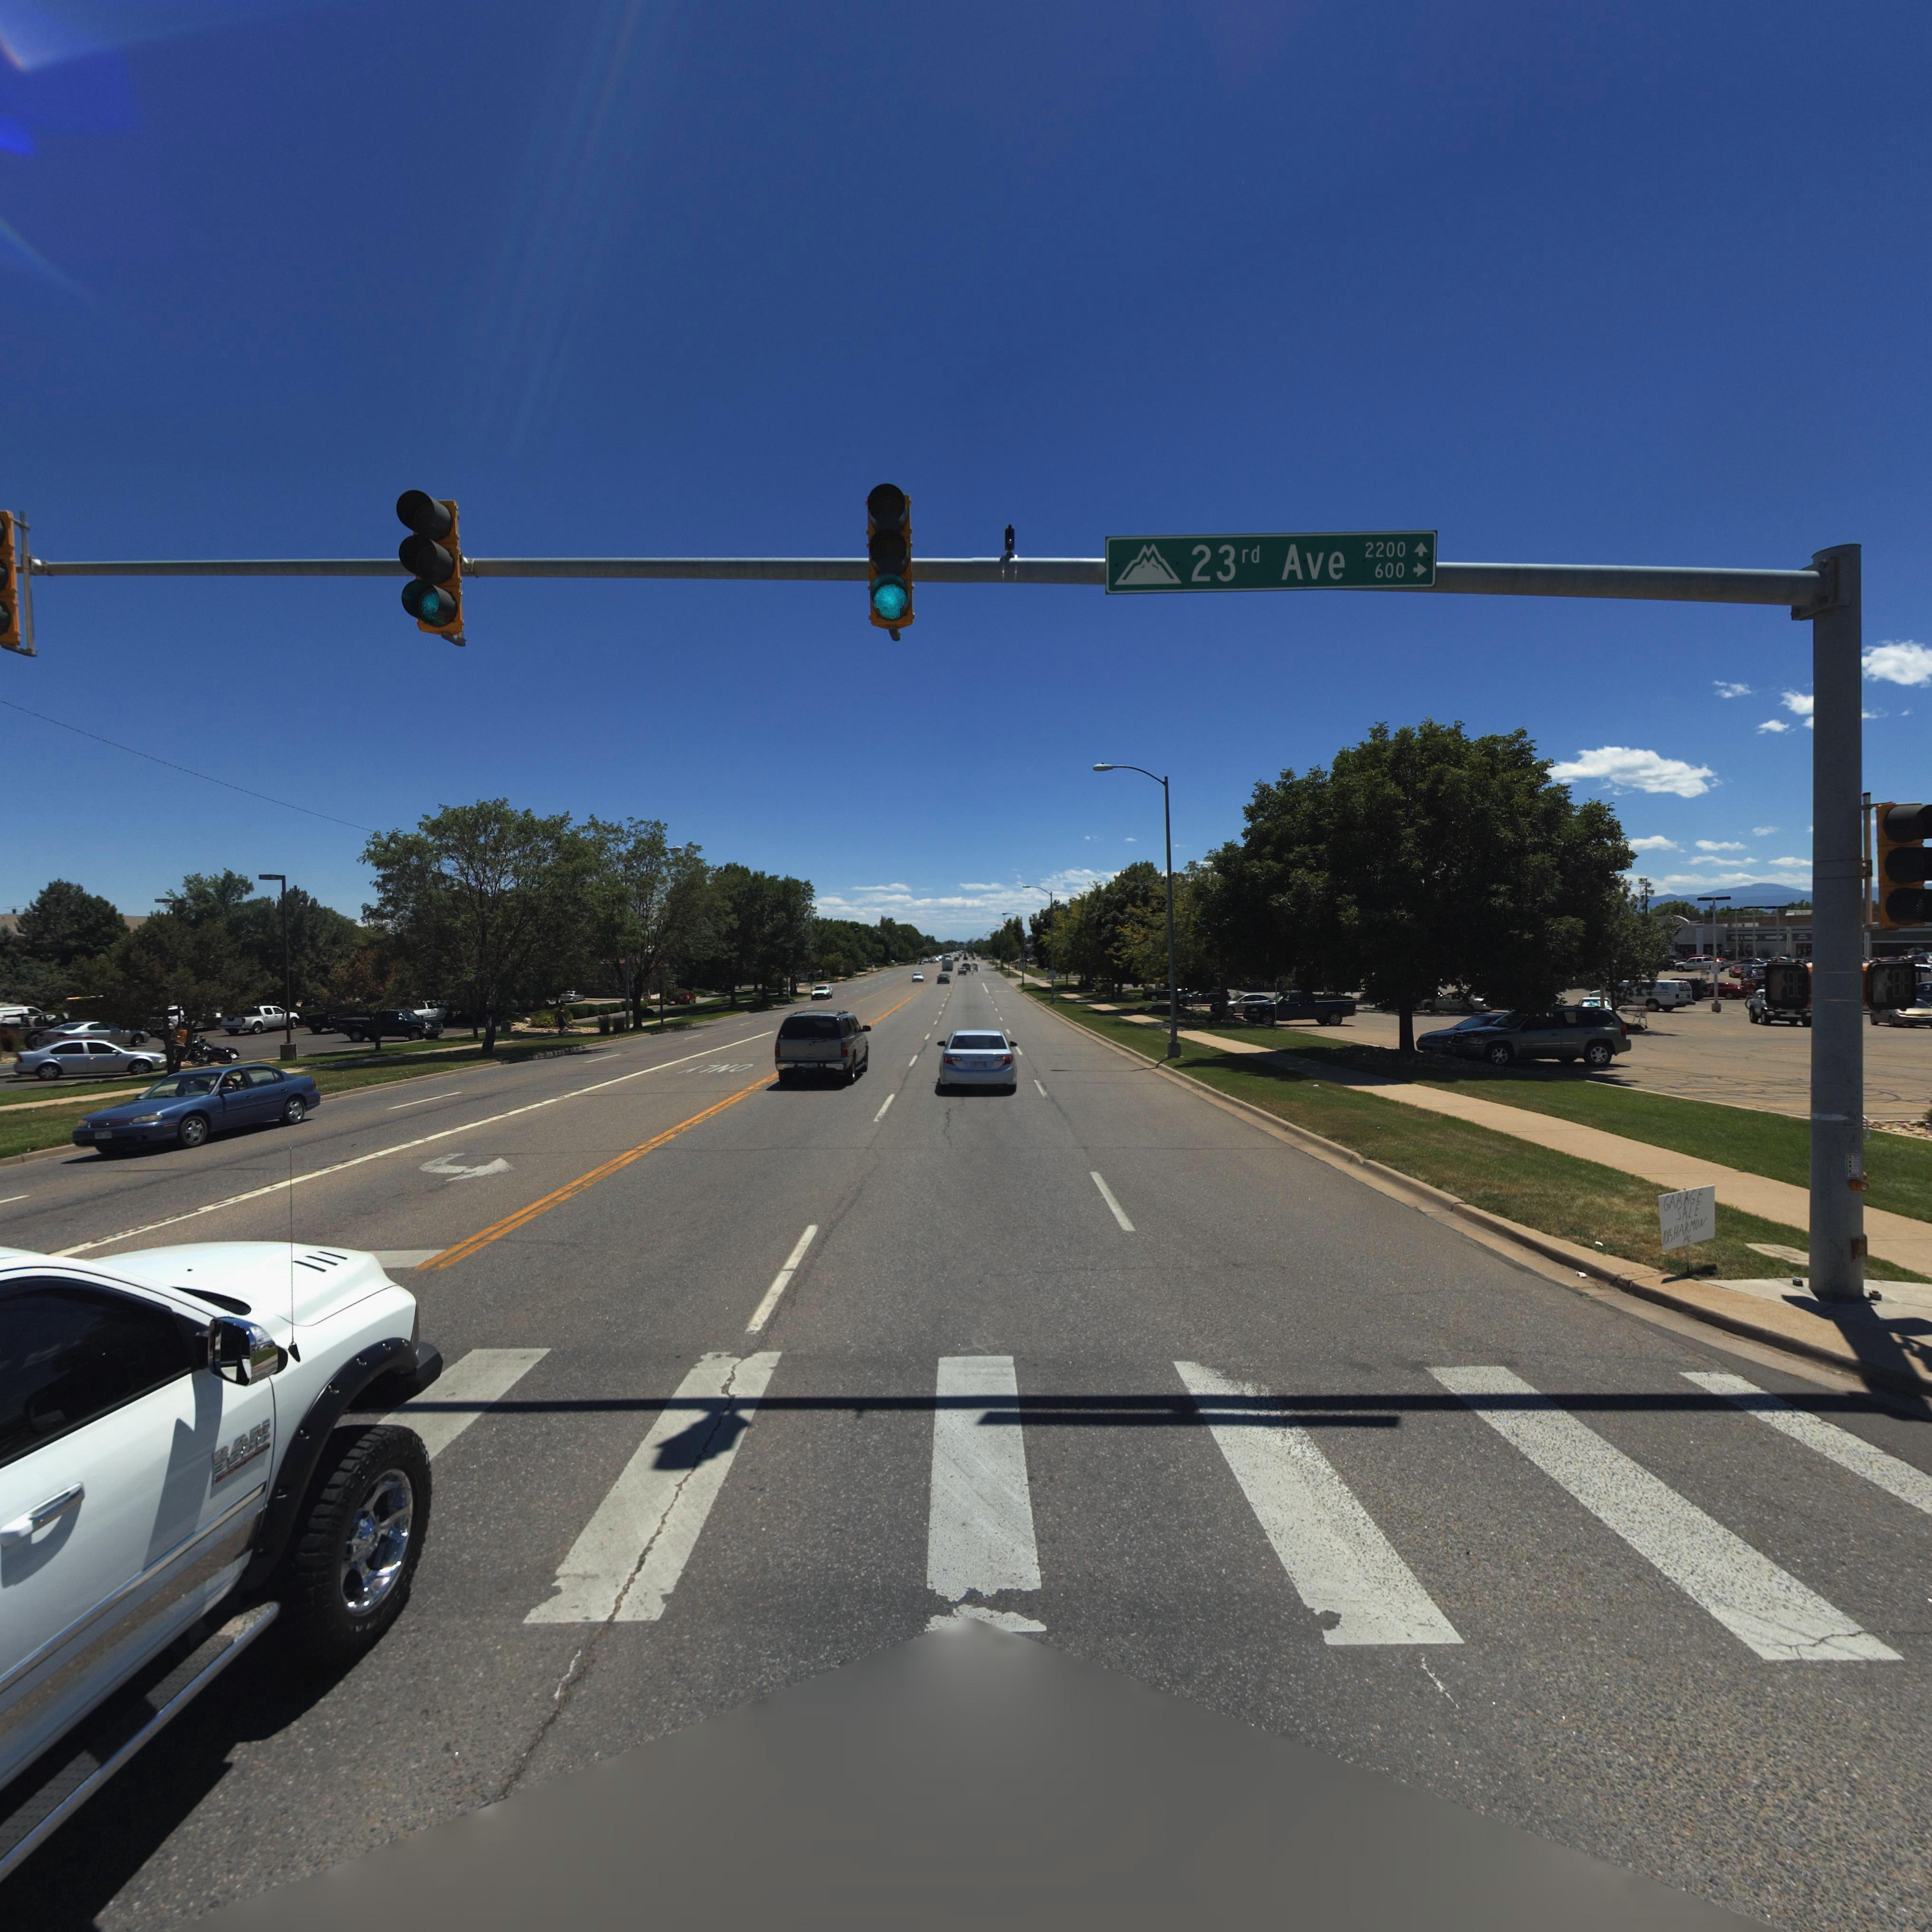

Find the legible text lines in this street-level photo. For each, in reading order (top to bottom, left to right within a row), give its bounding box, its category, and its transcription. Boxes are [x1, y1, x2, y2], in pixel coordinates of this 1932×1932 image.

[1364, 541, 1406, 558] StreetNumberRange: 2200
[1191, 544, 1346, 581] StreetName: 23rd Ave
[1374, 562, 1428, 578] StreetNumberRange: 600->